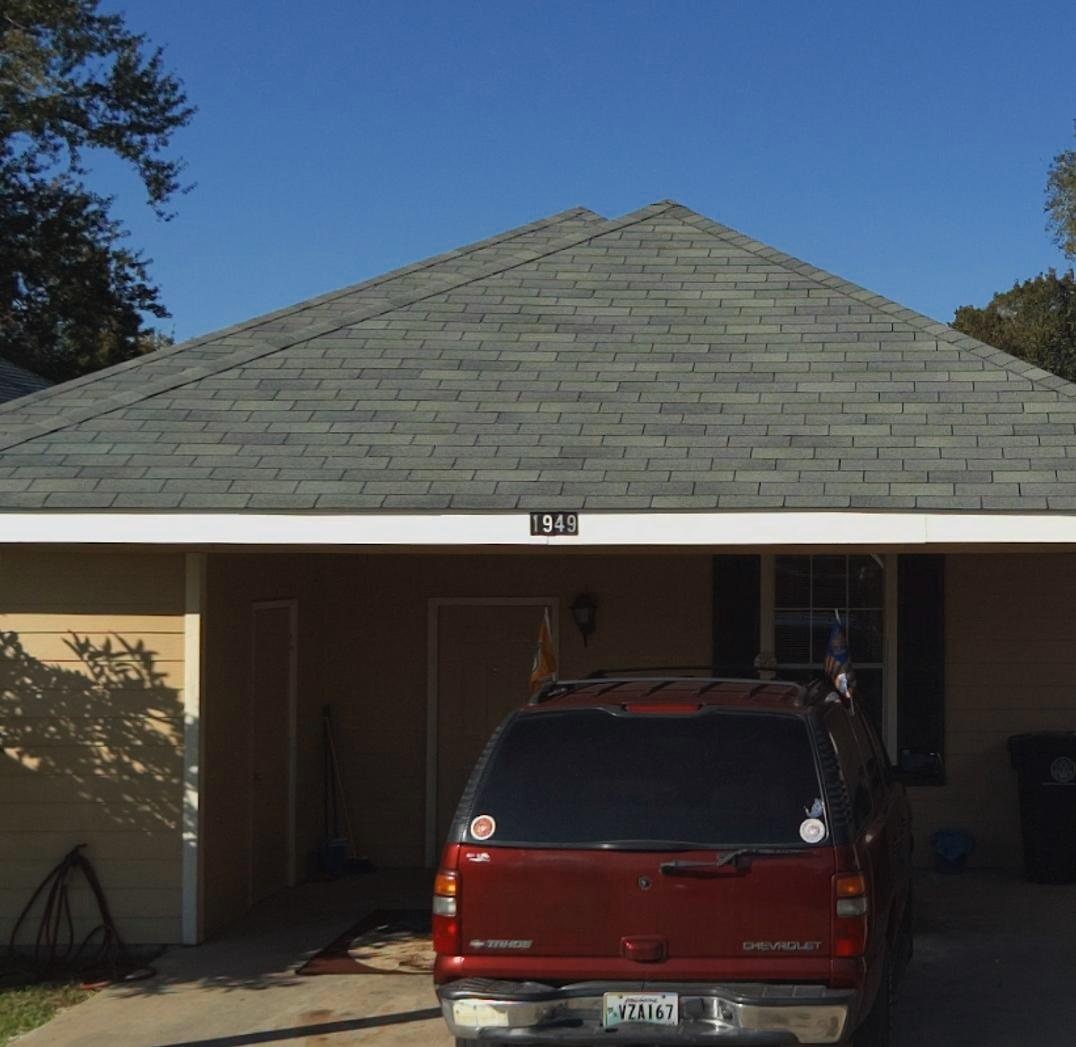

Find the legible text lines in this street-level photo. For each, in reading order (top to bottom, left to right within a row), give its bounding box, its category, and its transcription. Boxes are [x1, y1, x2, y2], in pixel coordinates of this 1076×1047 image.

[531, 512, 578, 534] StreetNumber: 1949
[486, 938, 535, 949] None: TAHOE
[741, 940, 823, 951] None: CHEVROLET
[616, 1002, 676, 1021] None: VZA167